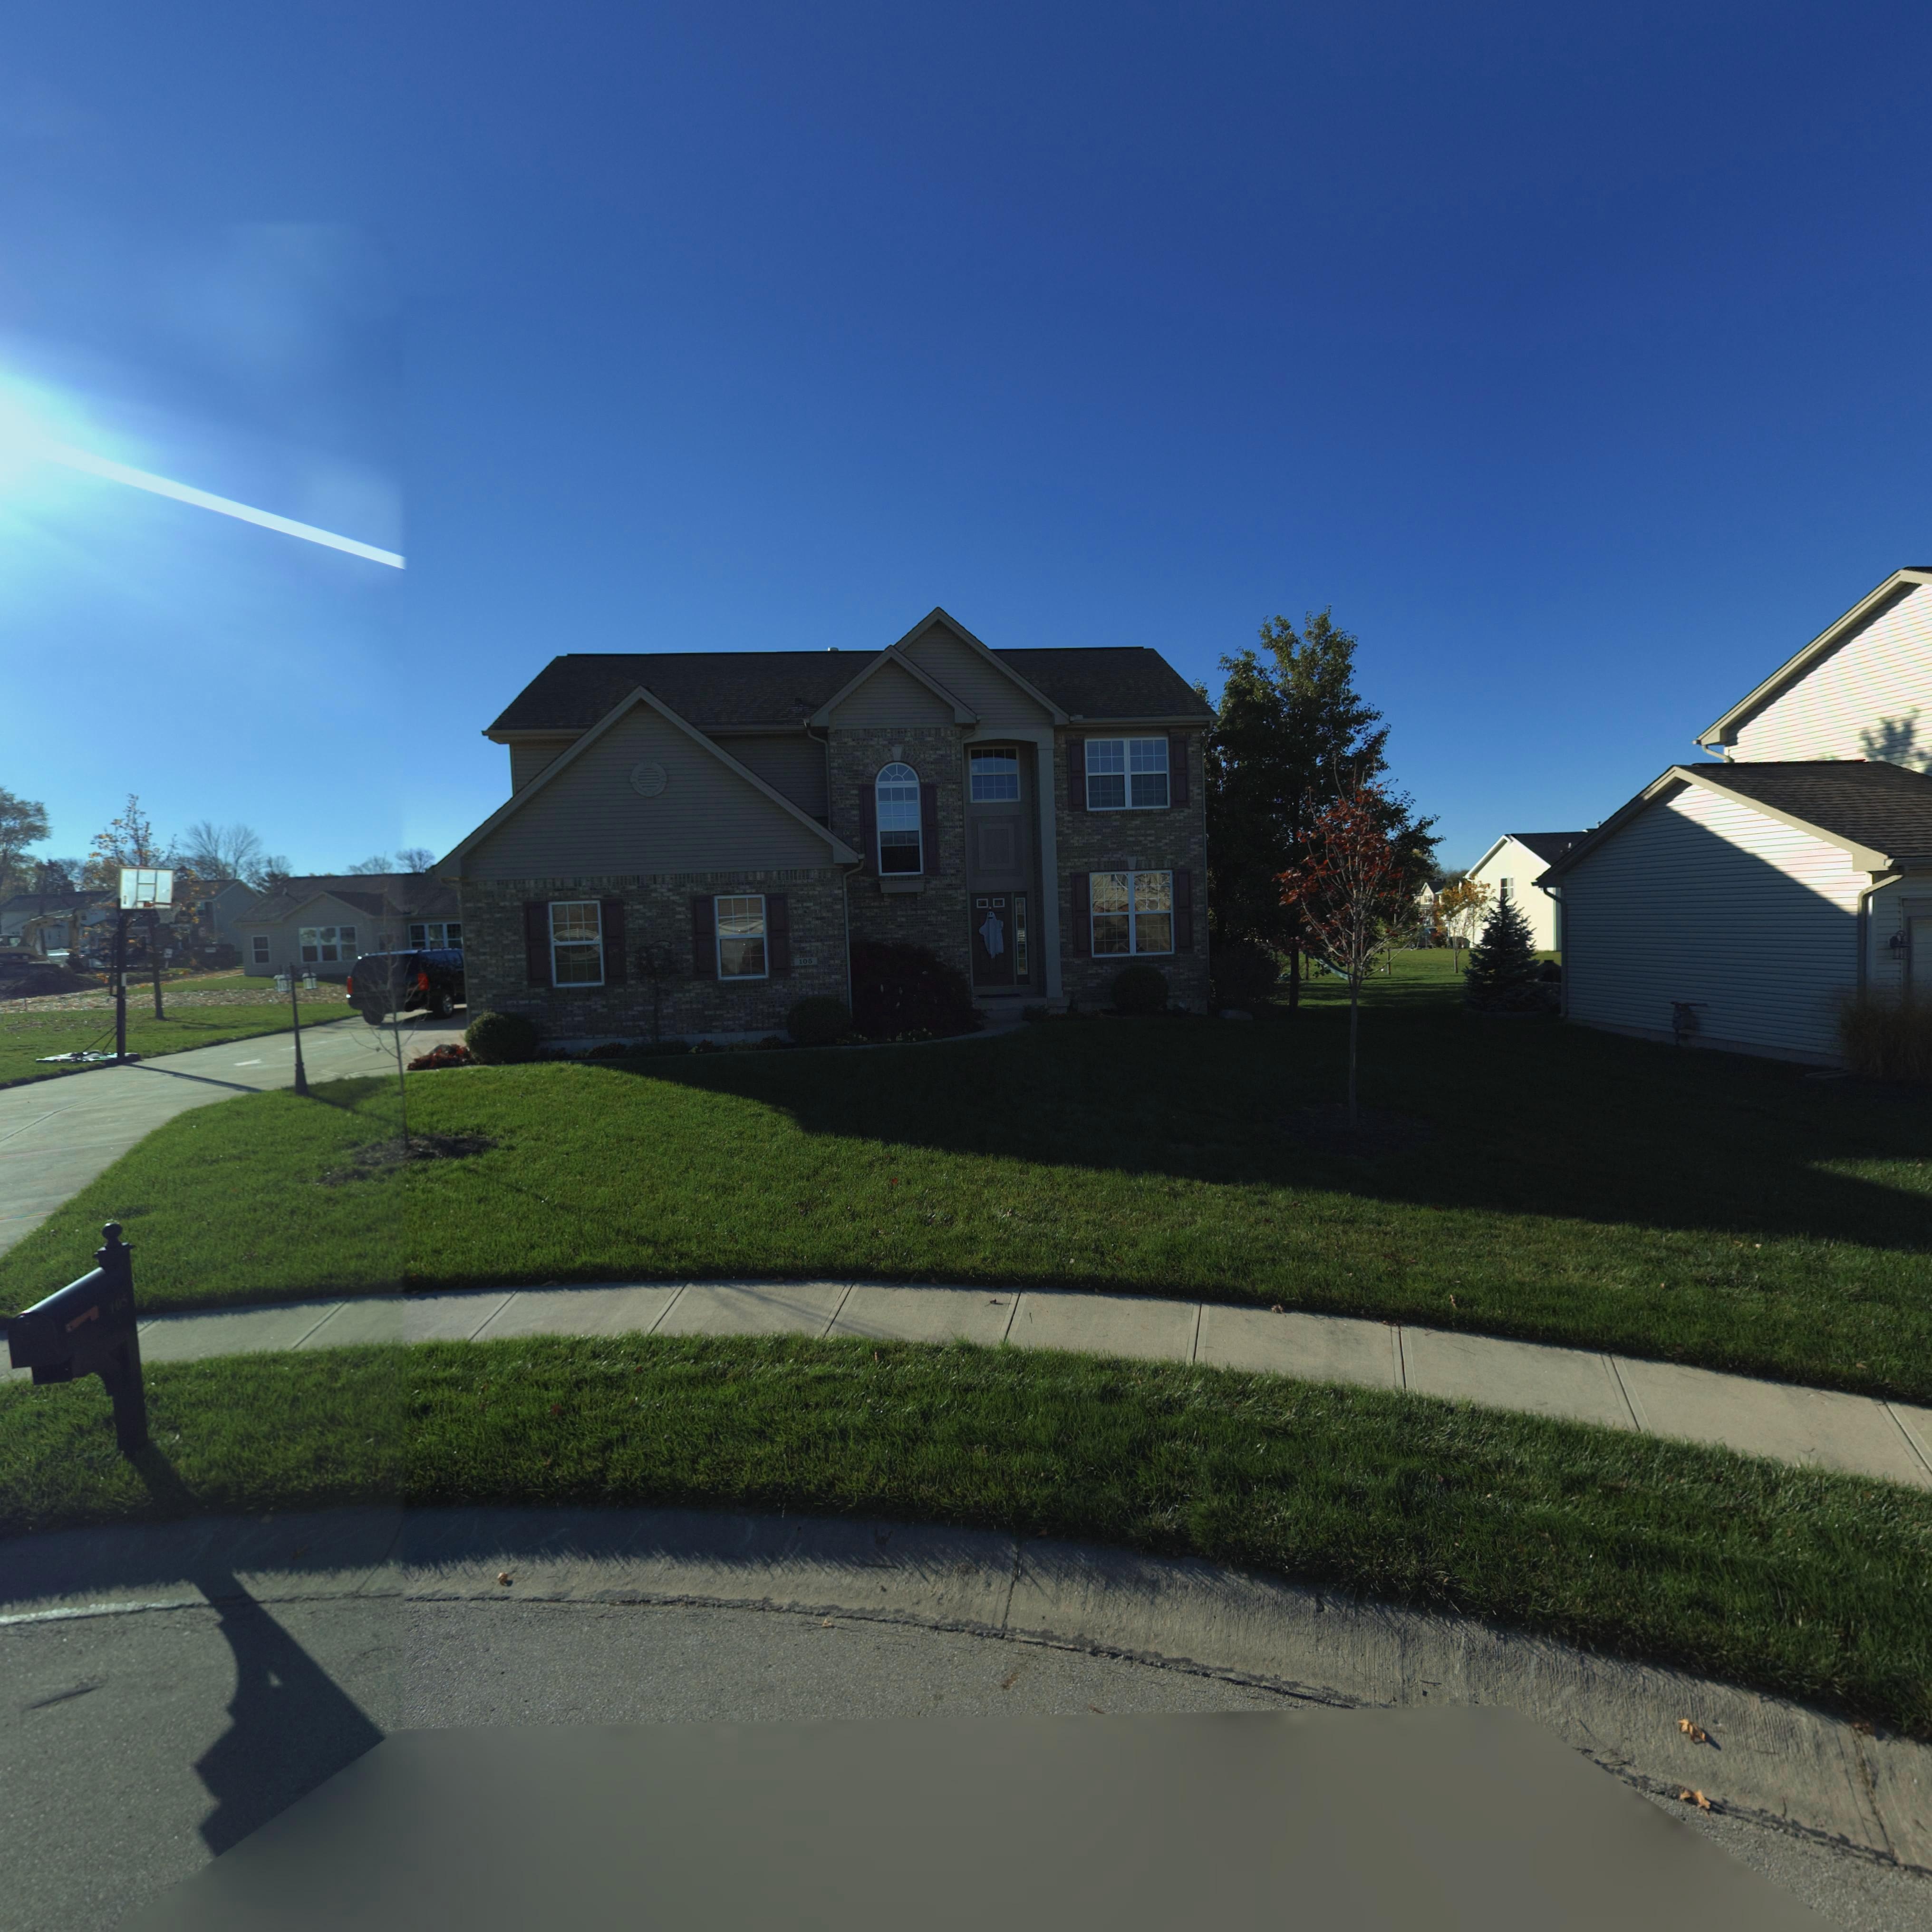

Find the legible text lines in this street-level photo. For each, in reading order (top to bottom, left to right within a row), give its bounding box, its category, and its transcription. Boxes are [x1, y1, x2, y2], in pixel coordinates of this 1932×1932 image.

[798, 957, 813, 965] StreetNumber: 105
[108, 1292, 130, 1317] StreetNumber: 105